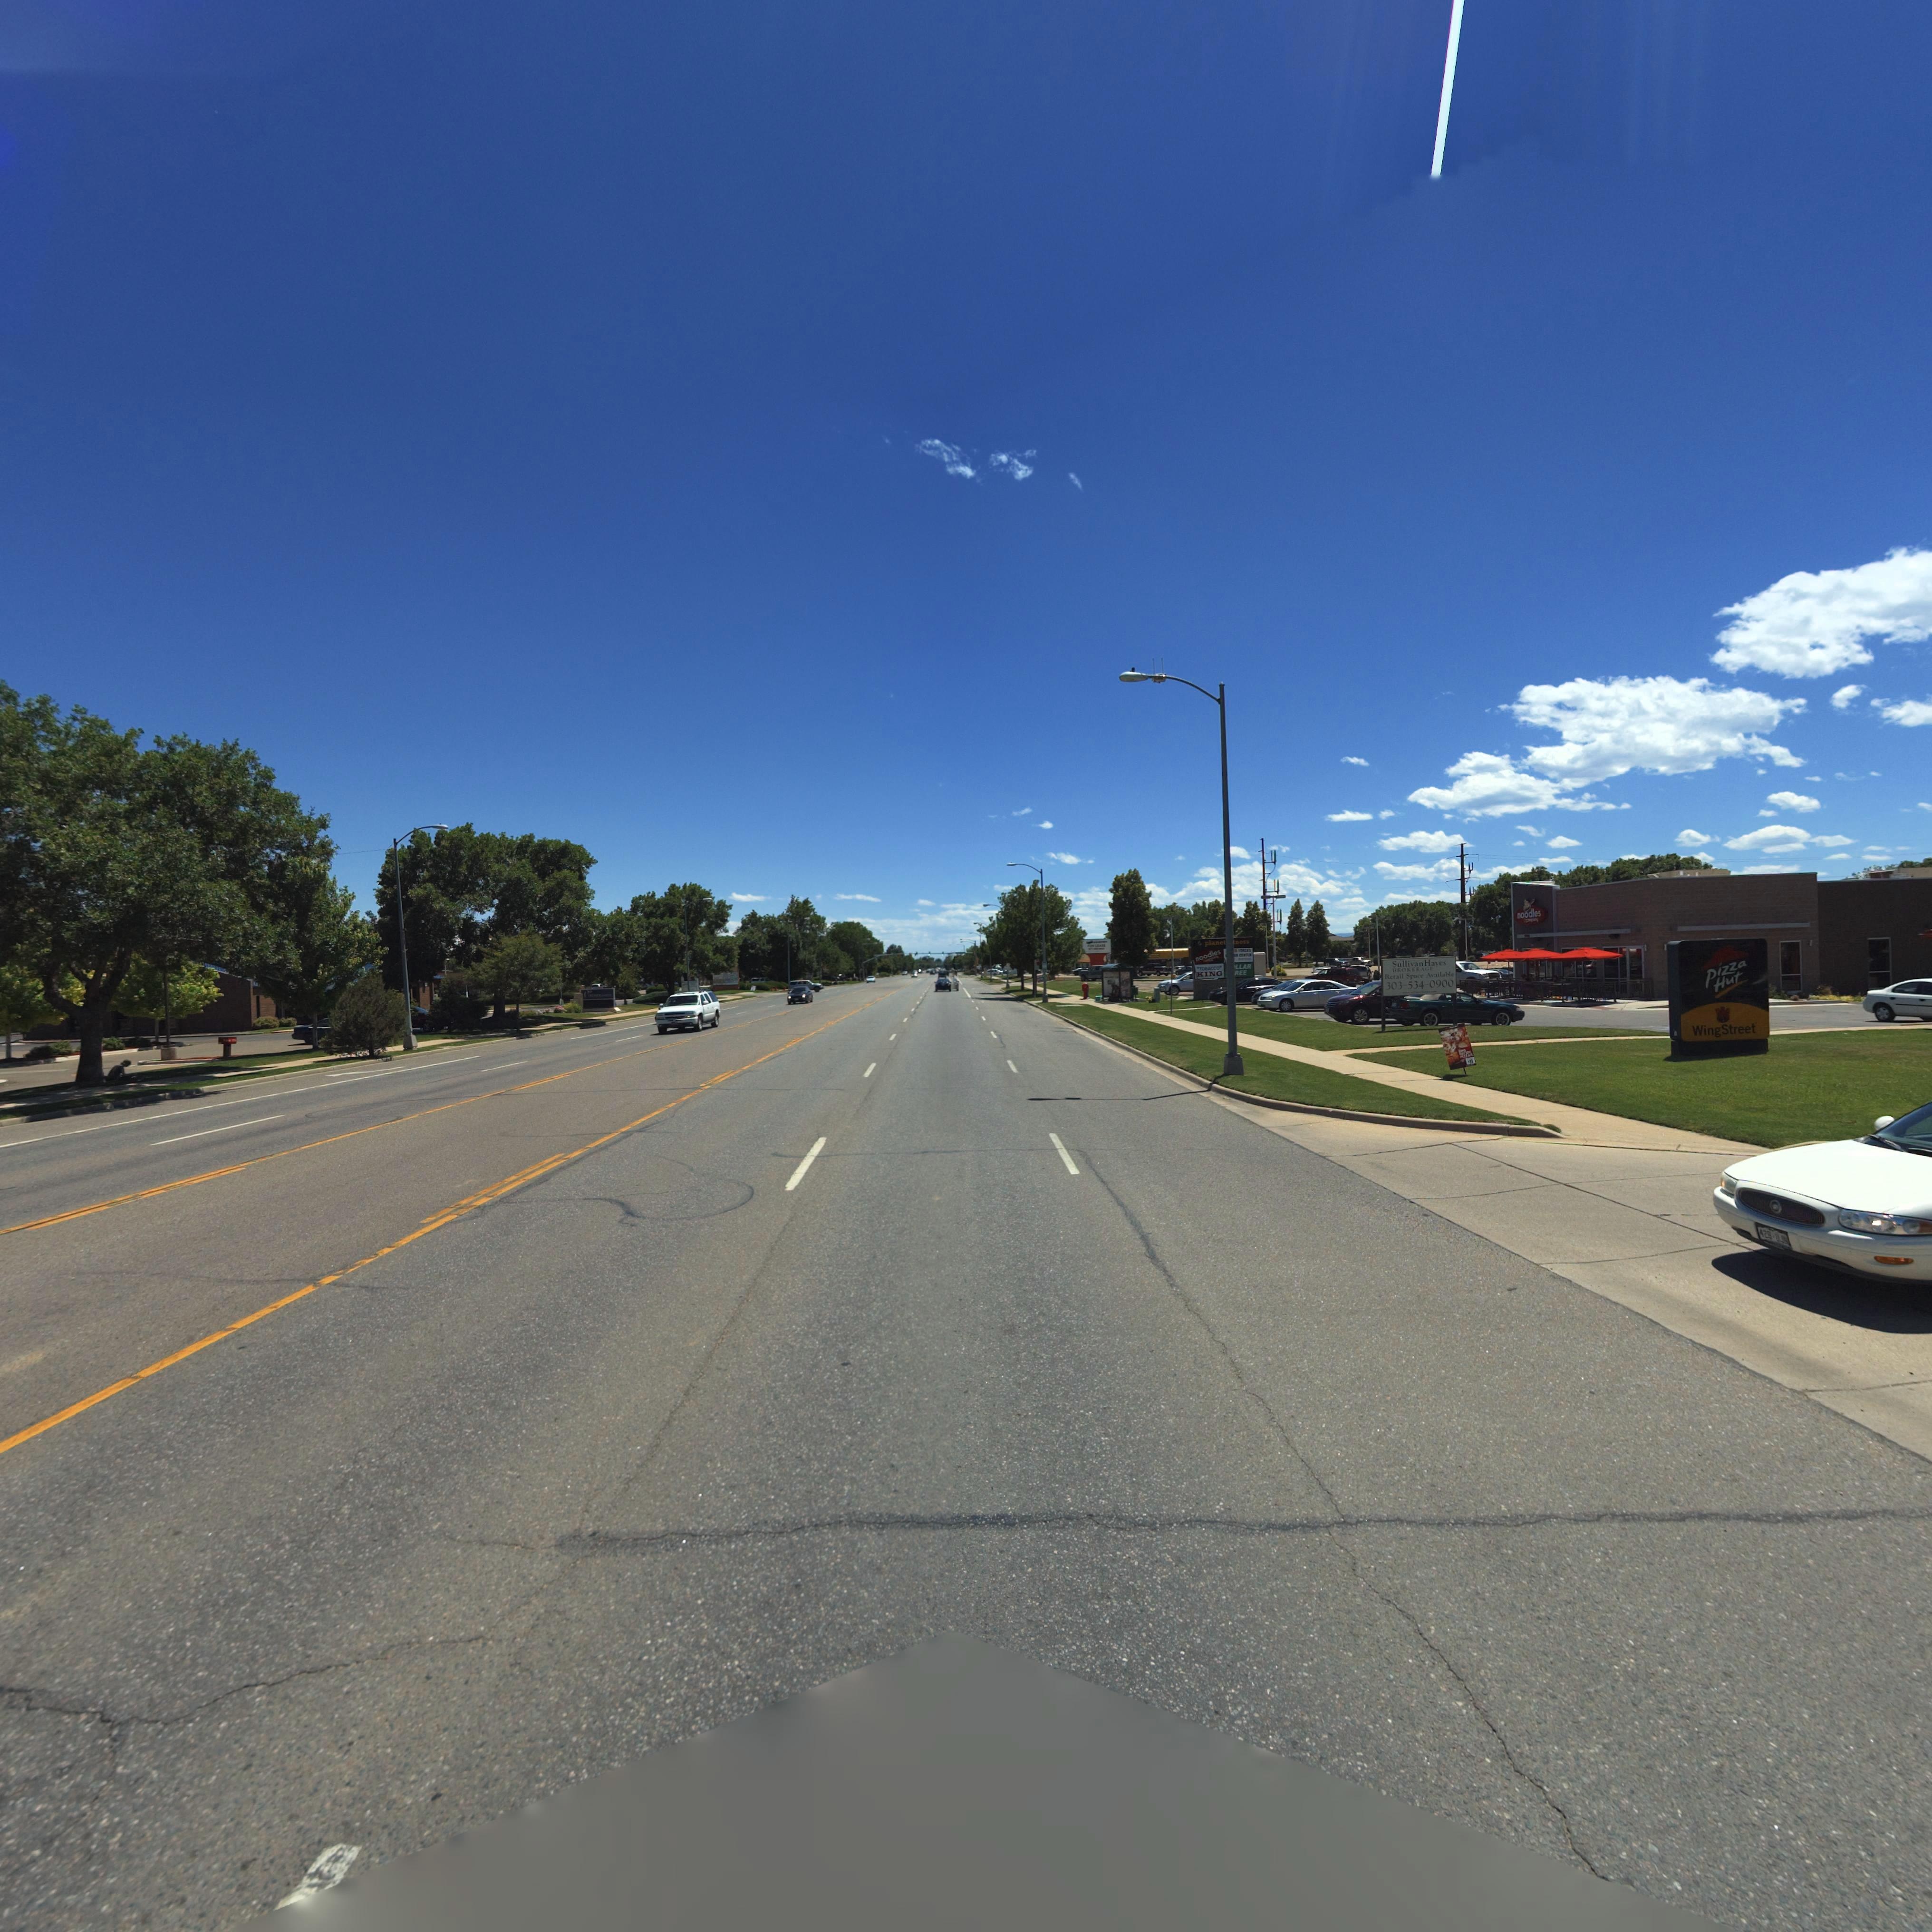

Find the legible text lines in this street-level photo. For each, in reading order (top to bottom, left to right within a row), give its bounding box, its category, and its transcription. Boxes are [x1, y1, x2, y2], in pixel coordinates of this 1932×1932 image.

[1517, 908, 1541, 918] BusinessName: noodles
[1525, 918, 1538, 922] BusinessName: ***p***
[1205, 939, 1250, 947] BusinessName: planet ****ess
[1195, 949, 1221, 962] BusinessName: noodles
[1234, 953, 1252, 956] BusinessName: ** CE****
[1199, 966, 1220, 971] BusinessName: TOB***O
[1234, 964, 1251, 969] BusinessName: *LLAR
[1196, 970, 1222, 976] BusinessName: KING
[1234, 970, 1247, 976] BusinessName: REE
[1705, 960, 1747, 988] BusinessName: Pizza
[1714, 971, 1743, 993] BusinessName: Hut
[1691, 1023, 1756, 1038] BusinessName: Wing Street